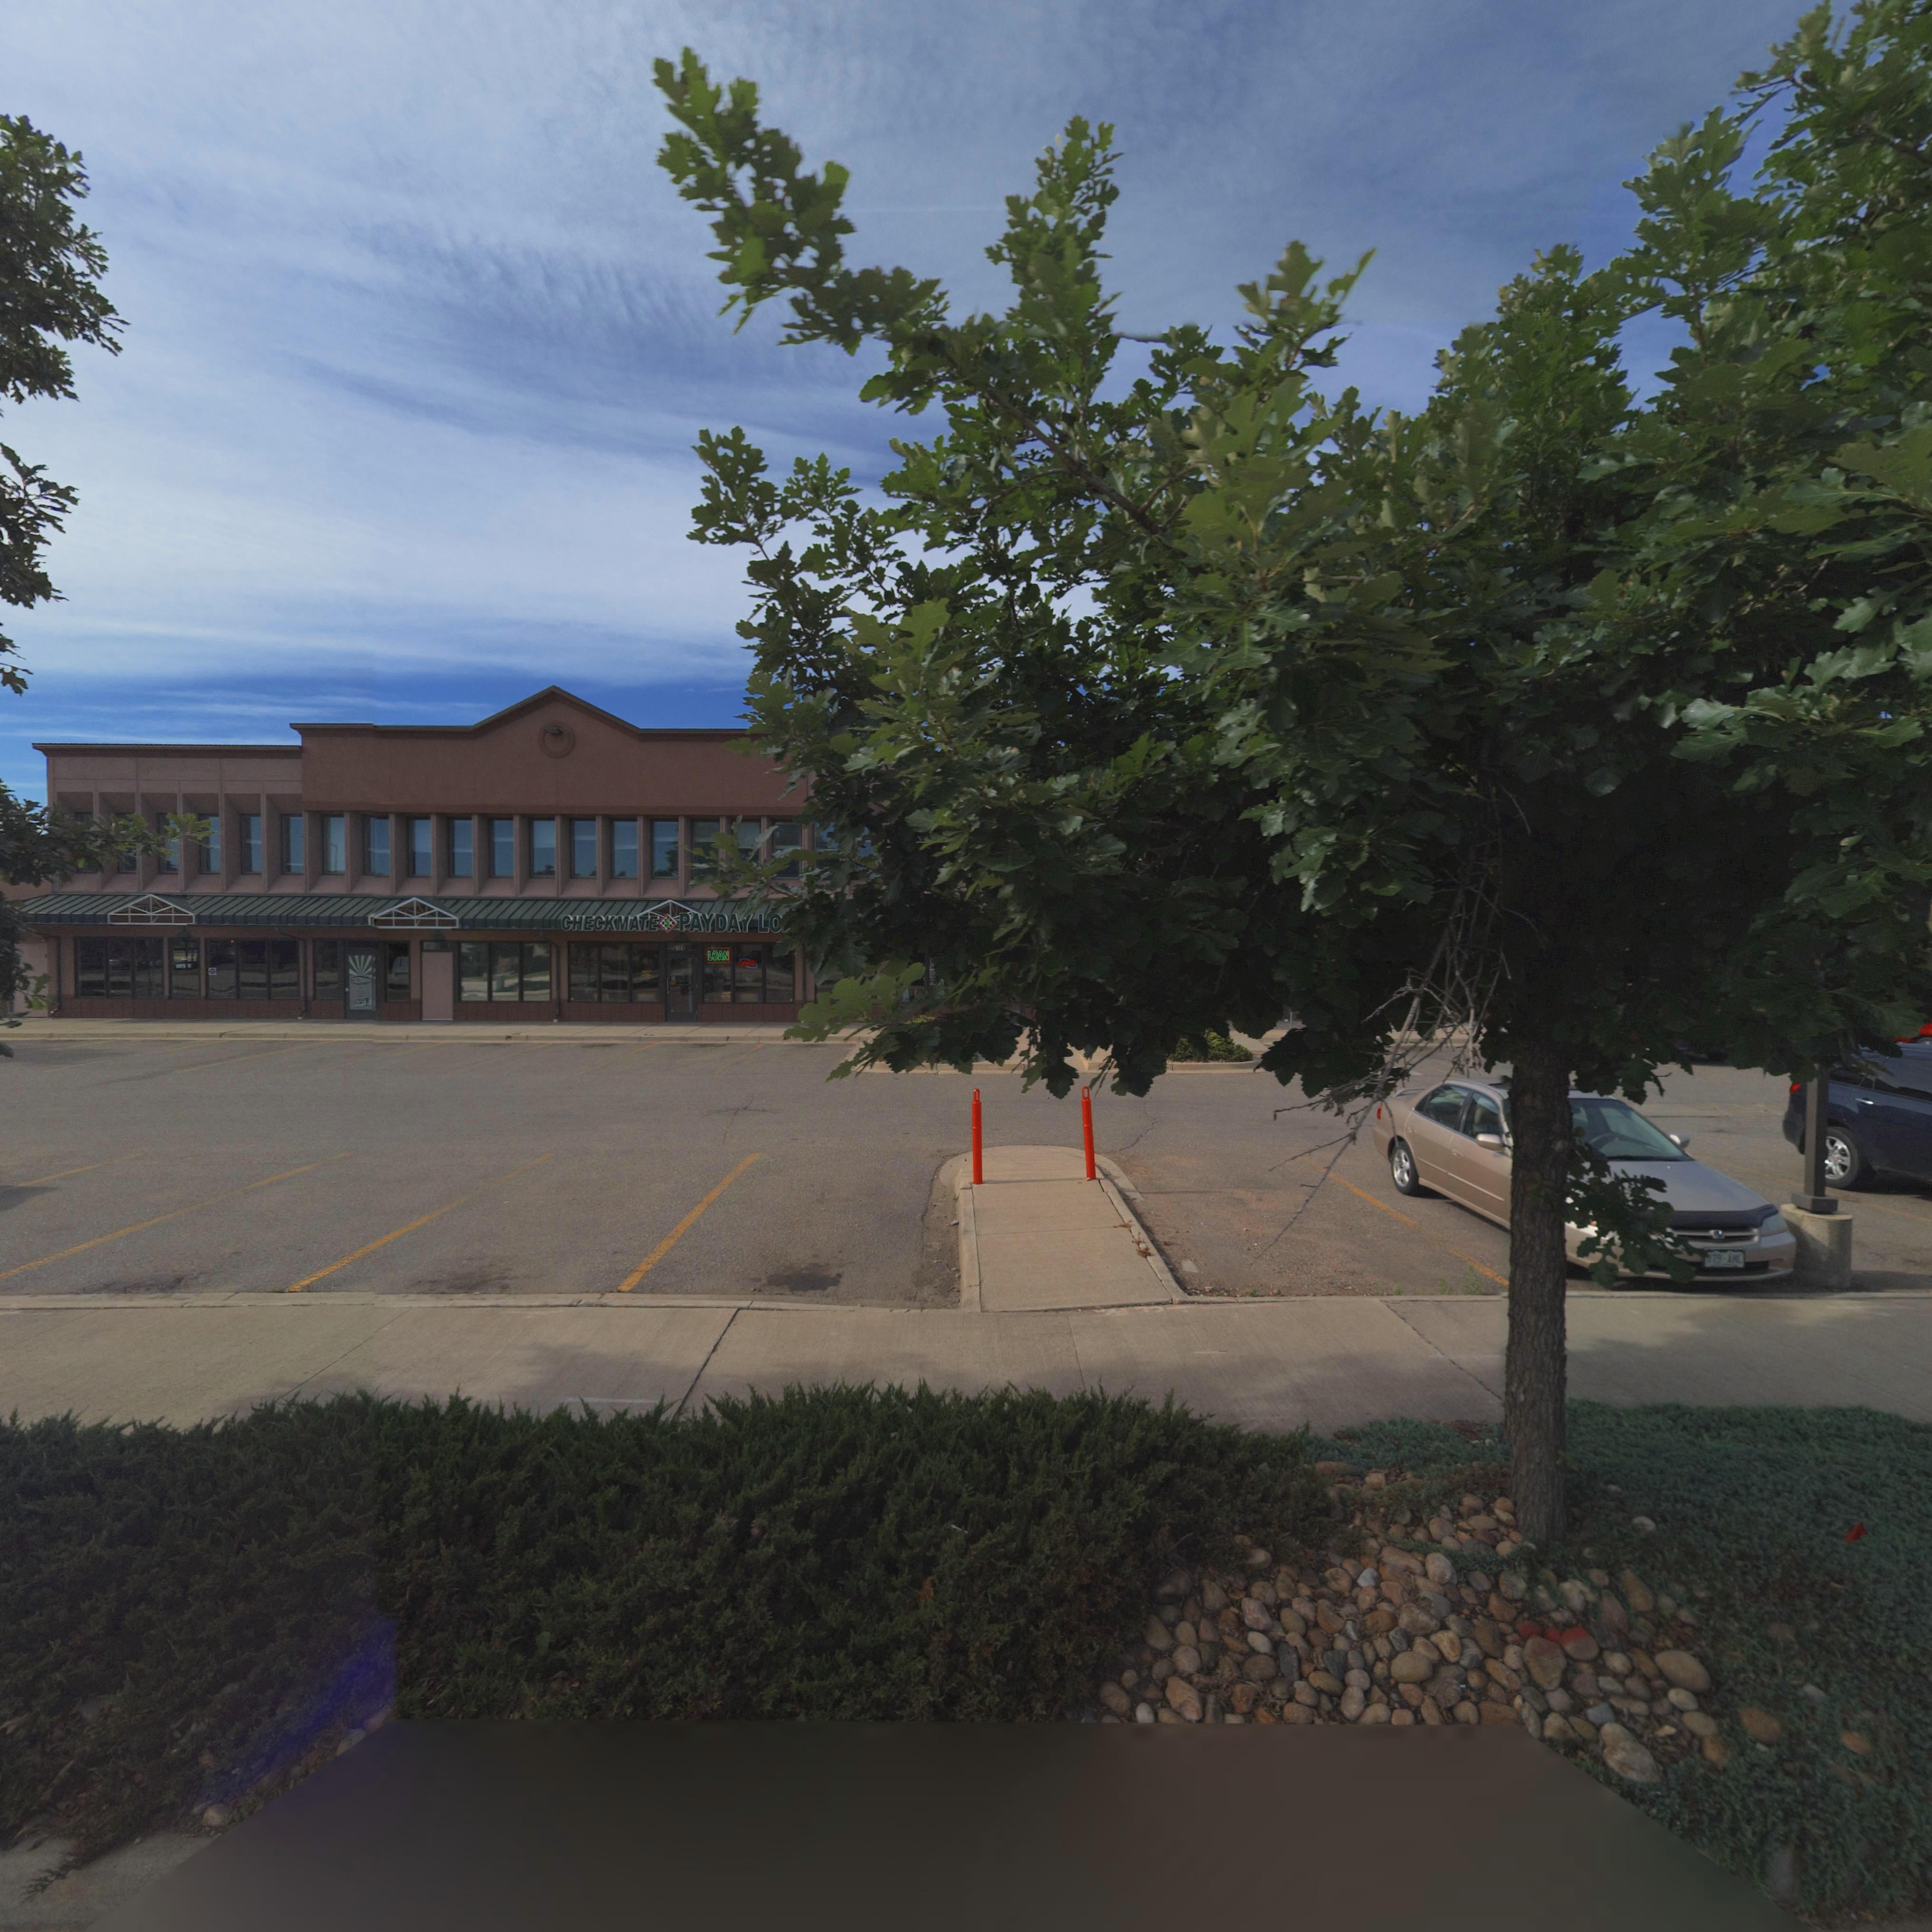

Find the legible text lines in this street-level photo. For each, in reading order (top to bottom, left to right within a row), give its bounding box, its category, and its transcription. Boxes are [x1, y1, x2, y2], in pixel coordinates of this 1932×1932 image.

[560, 913, 782, 932] BusinessName: CHECKMATE*PAYDAY LO